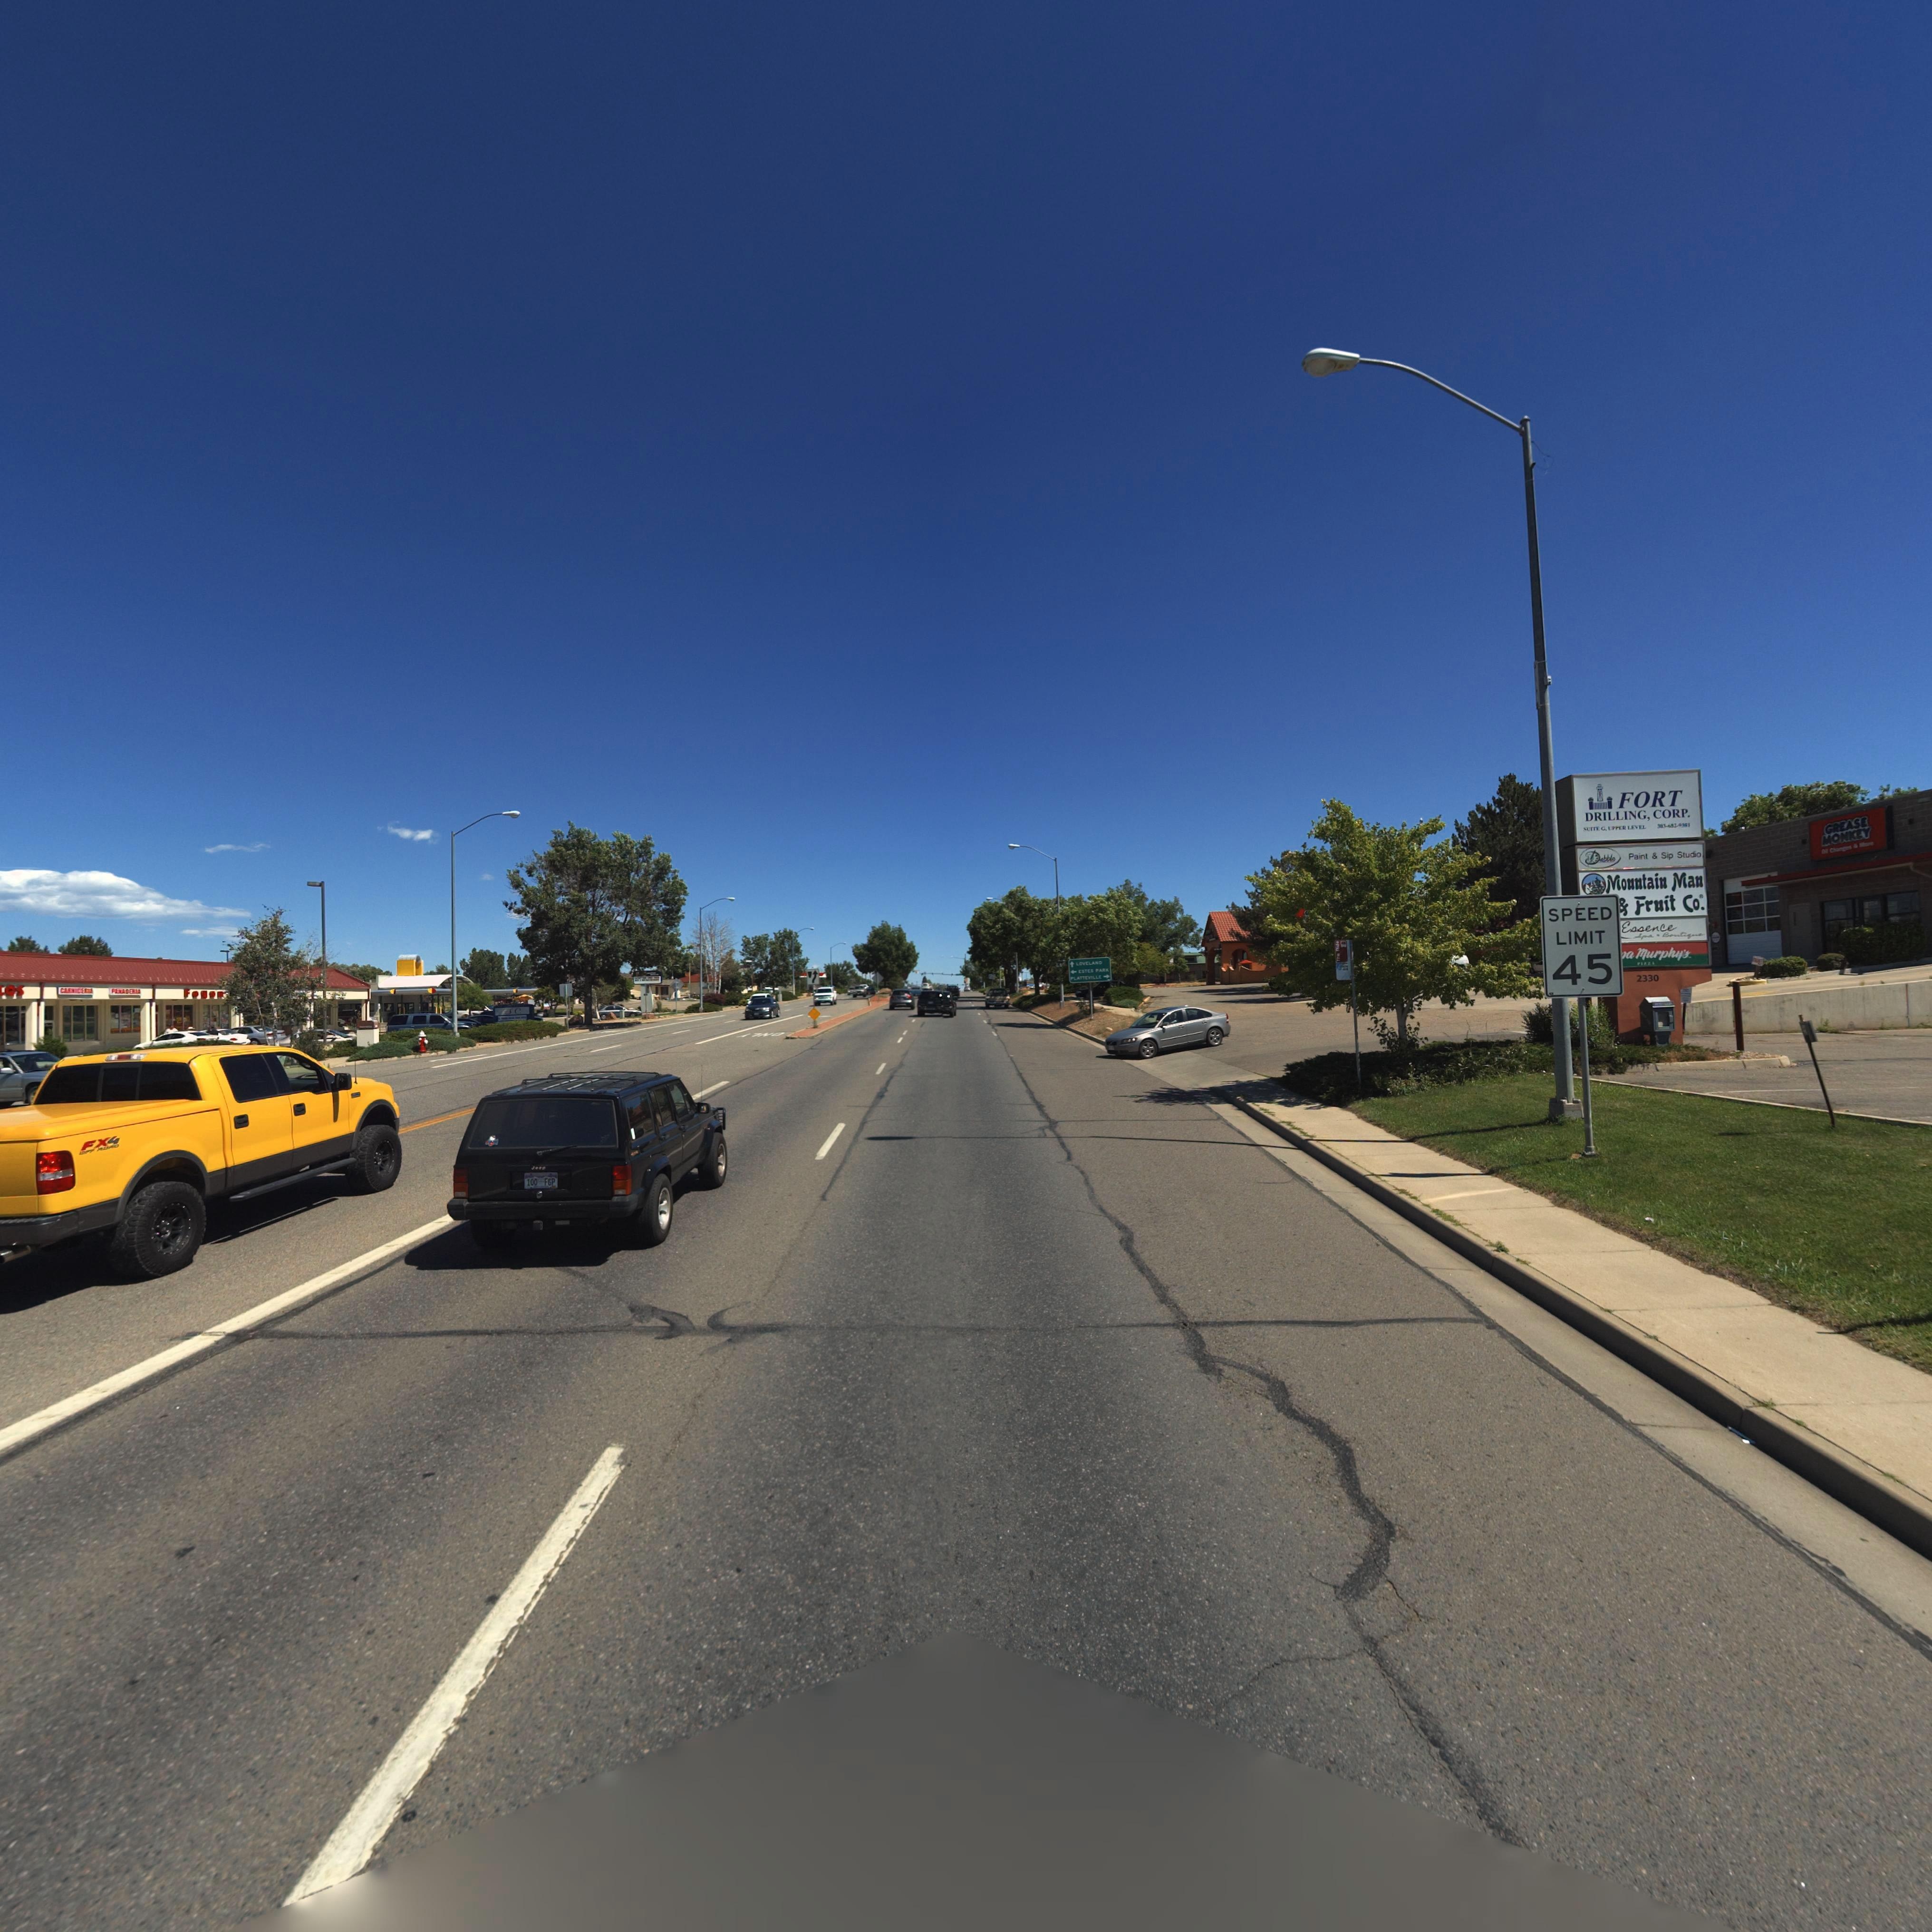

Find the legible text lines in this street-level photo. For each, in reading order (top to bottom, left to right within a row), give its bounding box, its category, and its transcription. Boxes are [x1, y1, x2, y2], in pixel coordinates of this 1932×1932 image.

[1616, 789, 1684, 809] BusinessName: FORT
[1584, 808, 1690, 822] BusinessName: DRILLING, CORP.
[1824, 815, 1868, 835] BusinessName: GREASE
[1821, 826, 1872, 847] BusinessName: MONKEY
[1584, 849, 1615, 865] BusinessName: Dabble
[1605, 871, 1703, 894] BusinessName: Mountain Man
[1618, 894, 1705, 917] BusinessName: & Fruit Co.
[1621, 920, 1677, 933] BusinessName: Essence
[1636, 974, 1659, 982] StreetNumber: 2330
[4, 984, 25, 996] BusinessName: OS
[60, 987, 93, 994] BusinessName: CARN*CE***
[111, 988, 140, 994] BusinessName: F***OERIA
[184, 988, 223, 999] BusinessName: Fogon